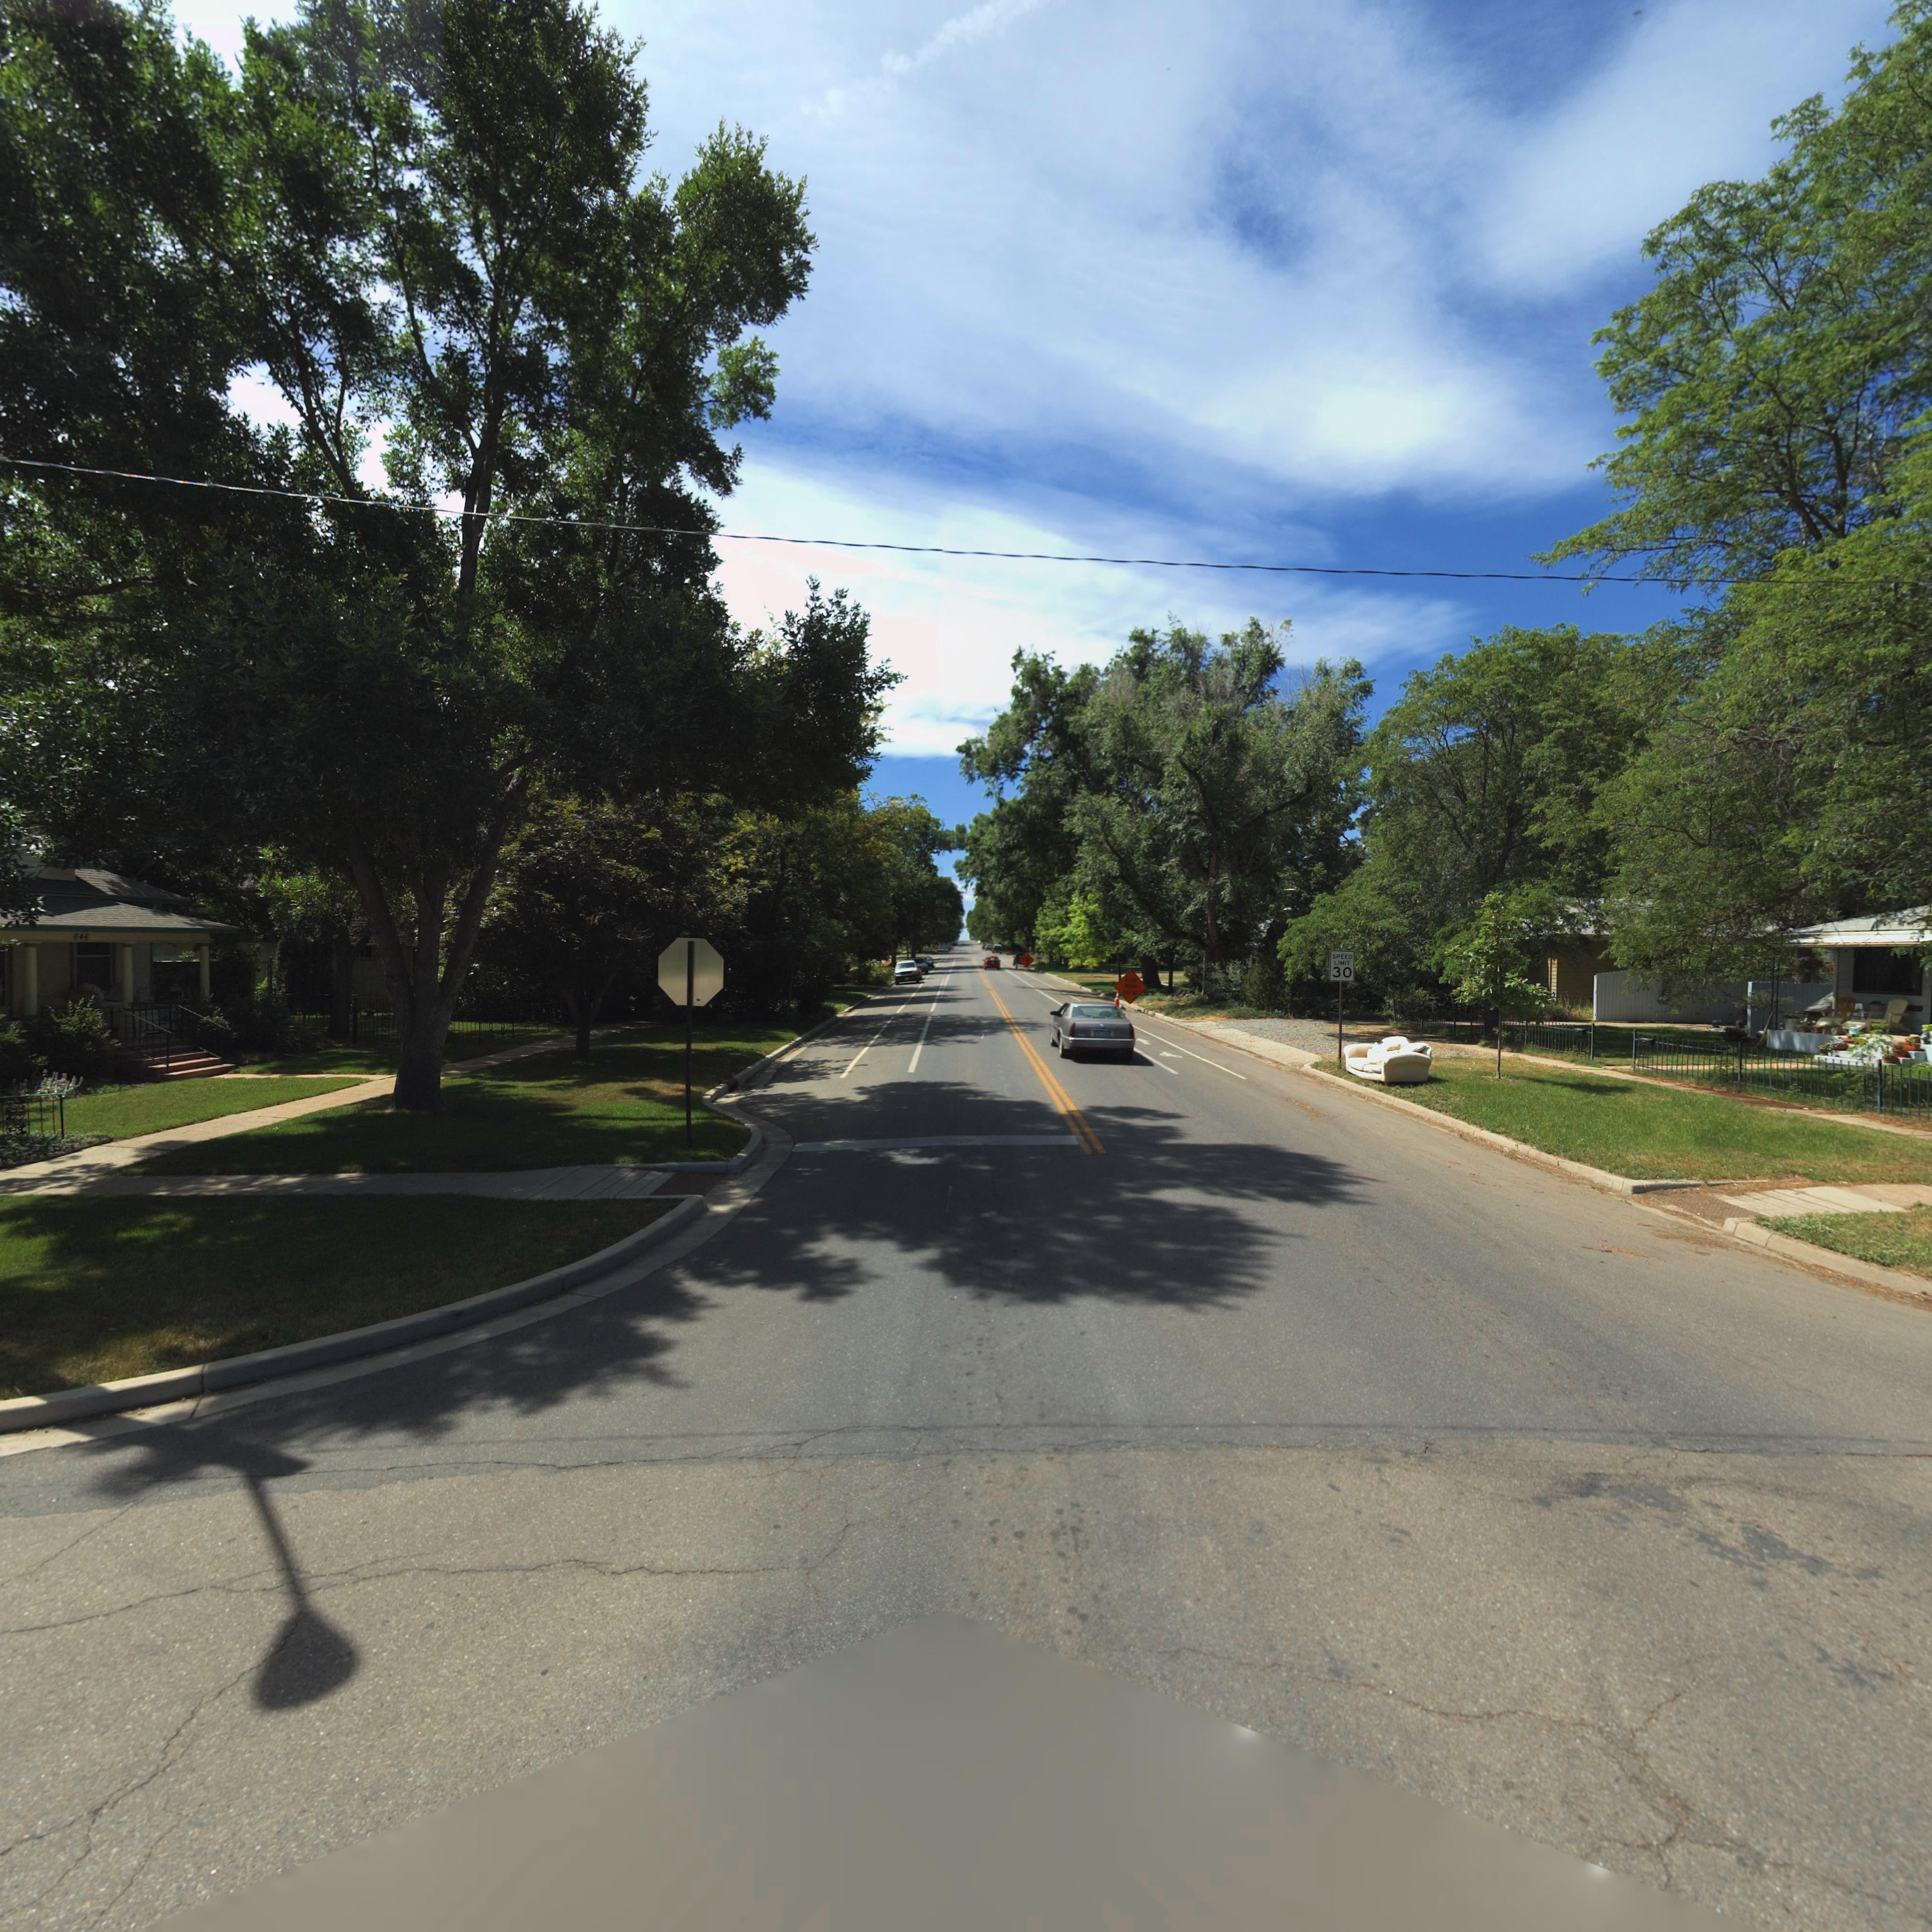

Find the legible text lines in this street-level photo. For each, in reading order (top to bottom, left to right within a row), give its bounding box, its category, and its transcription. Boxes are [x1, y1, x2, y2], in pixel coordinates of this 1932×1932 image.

[72, 932, 89, 940] StreetNumber: 646